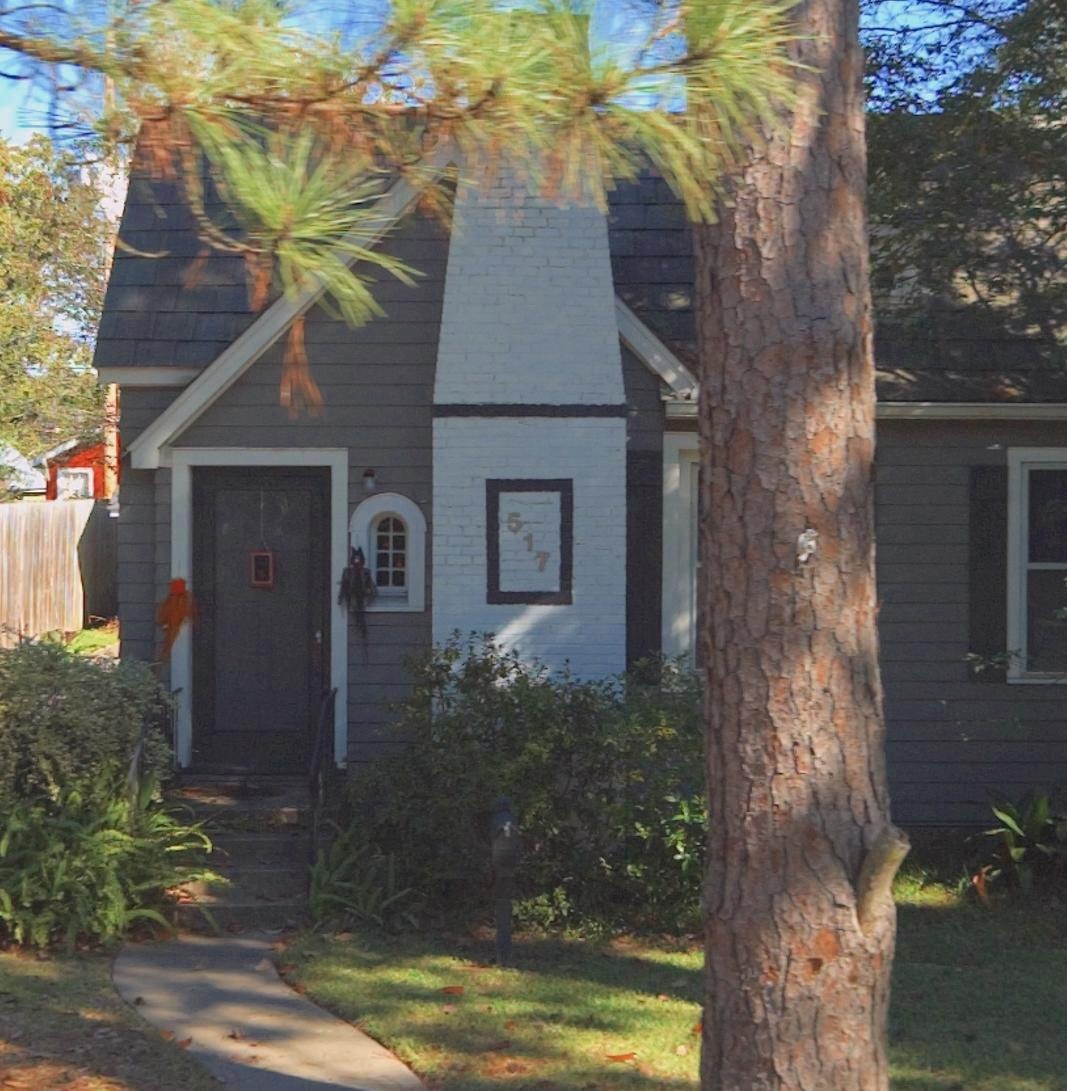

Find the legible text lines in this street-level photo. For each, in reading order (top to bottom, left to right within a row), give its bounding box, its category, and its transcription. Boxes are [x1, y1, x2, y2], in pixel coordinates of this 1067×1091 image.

[505, 511, 551, 574] StreetNumber: 517